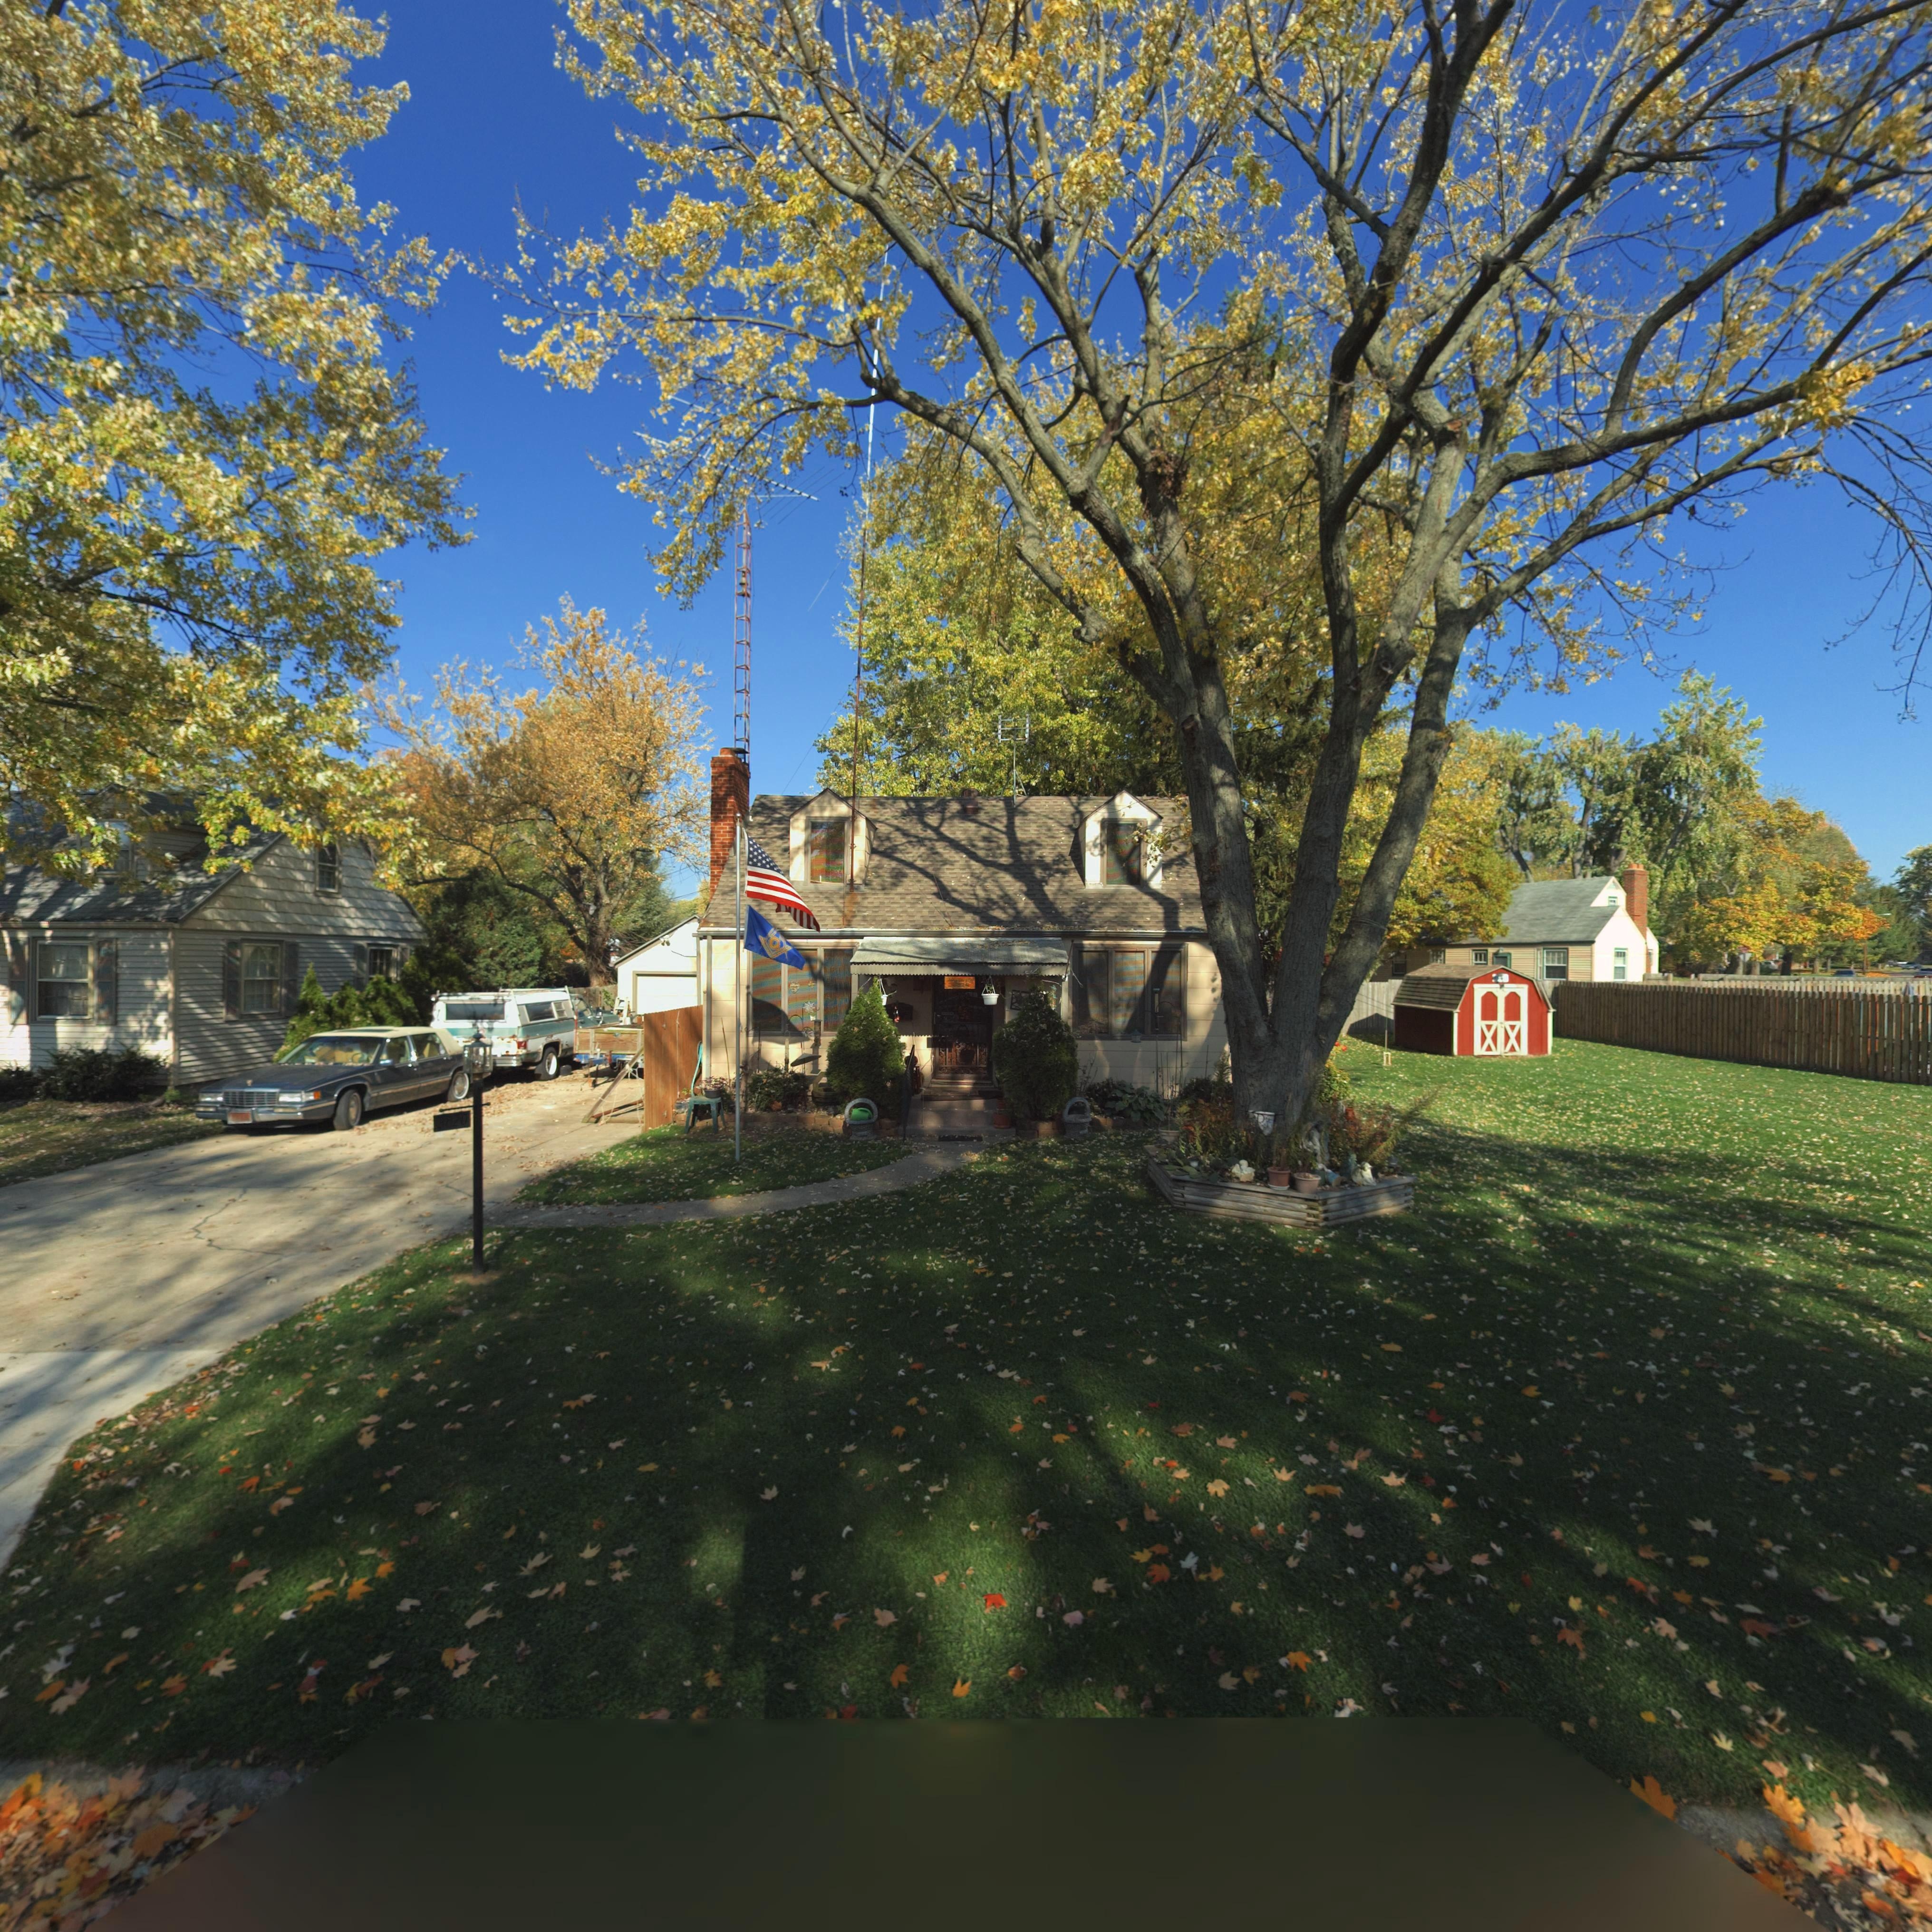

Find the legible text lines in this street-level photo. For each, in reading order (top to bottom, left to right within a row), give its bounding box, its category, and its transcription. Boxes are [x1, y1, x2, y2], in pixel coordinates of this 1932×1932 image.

[436, 1112, 469, 1130] StreetNumber: **20